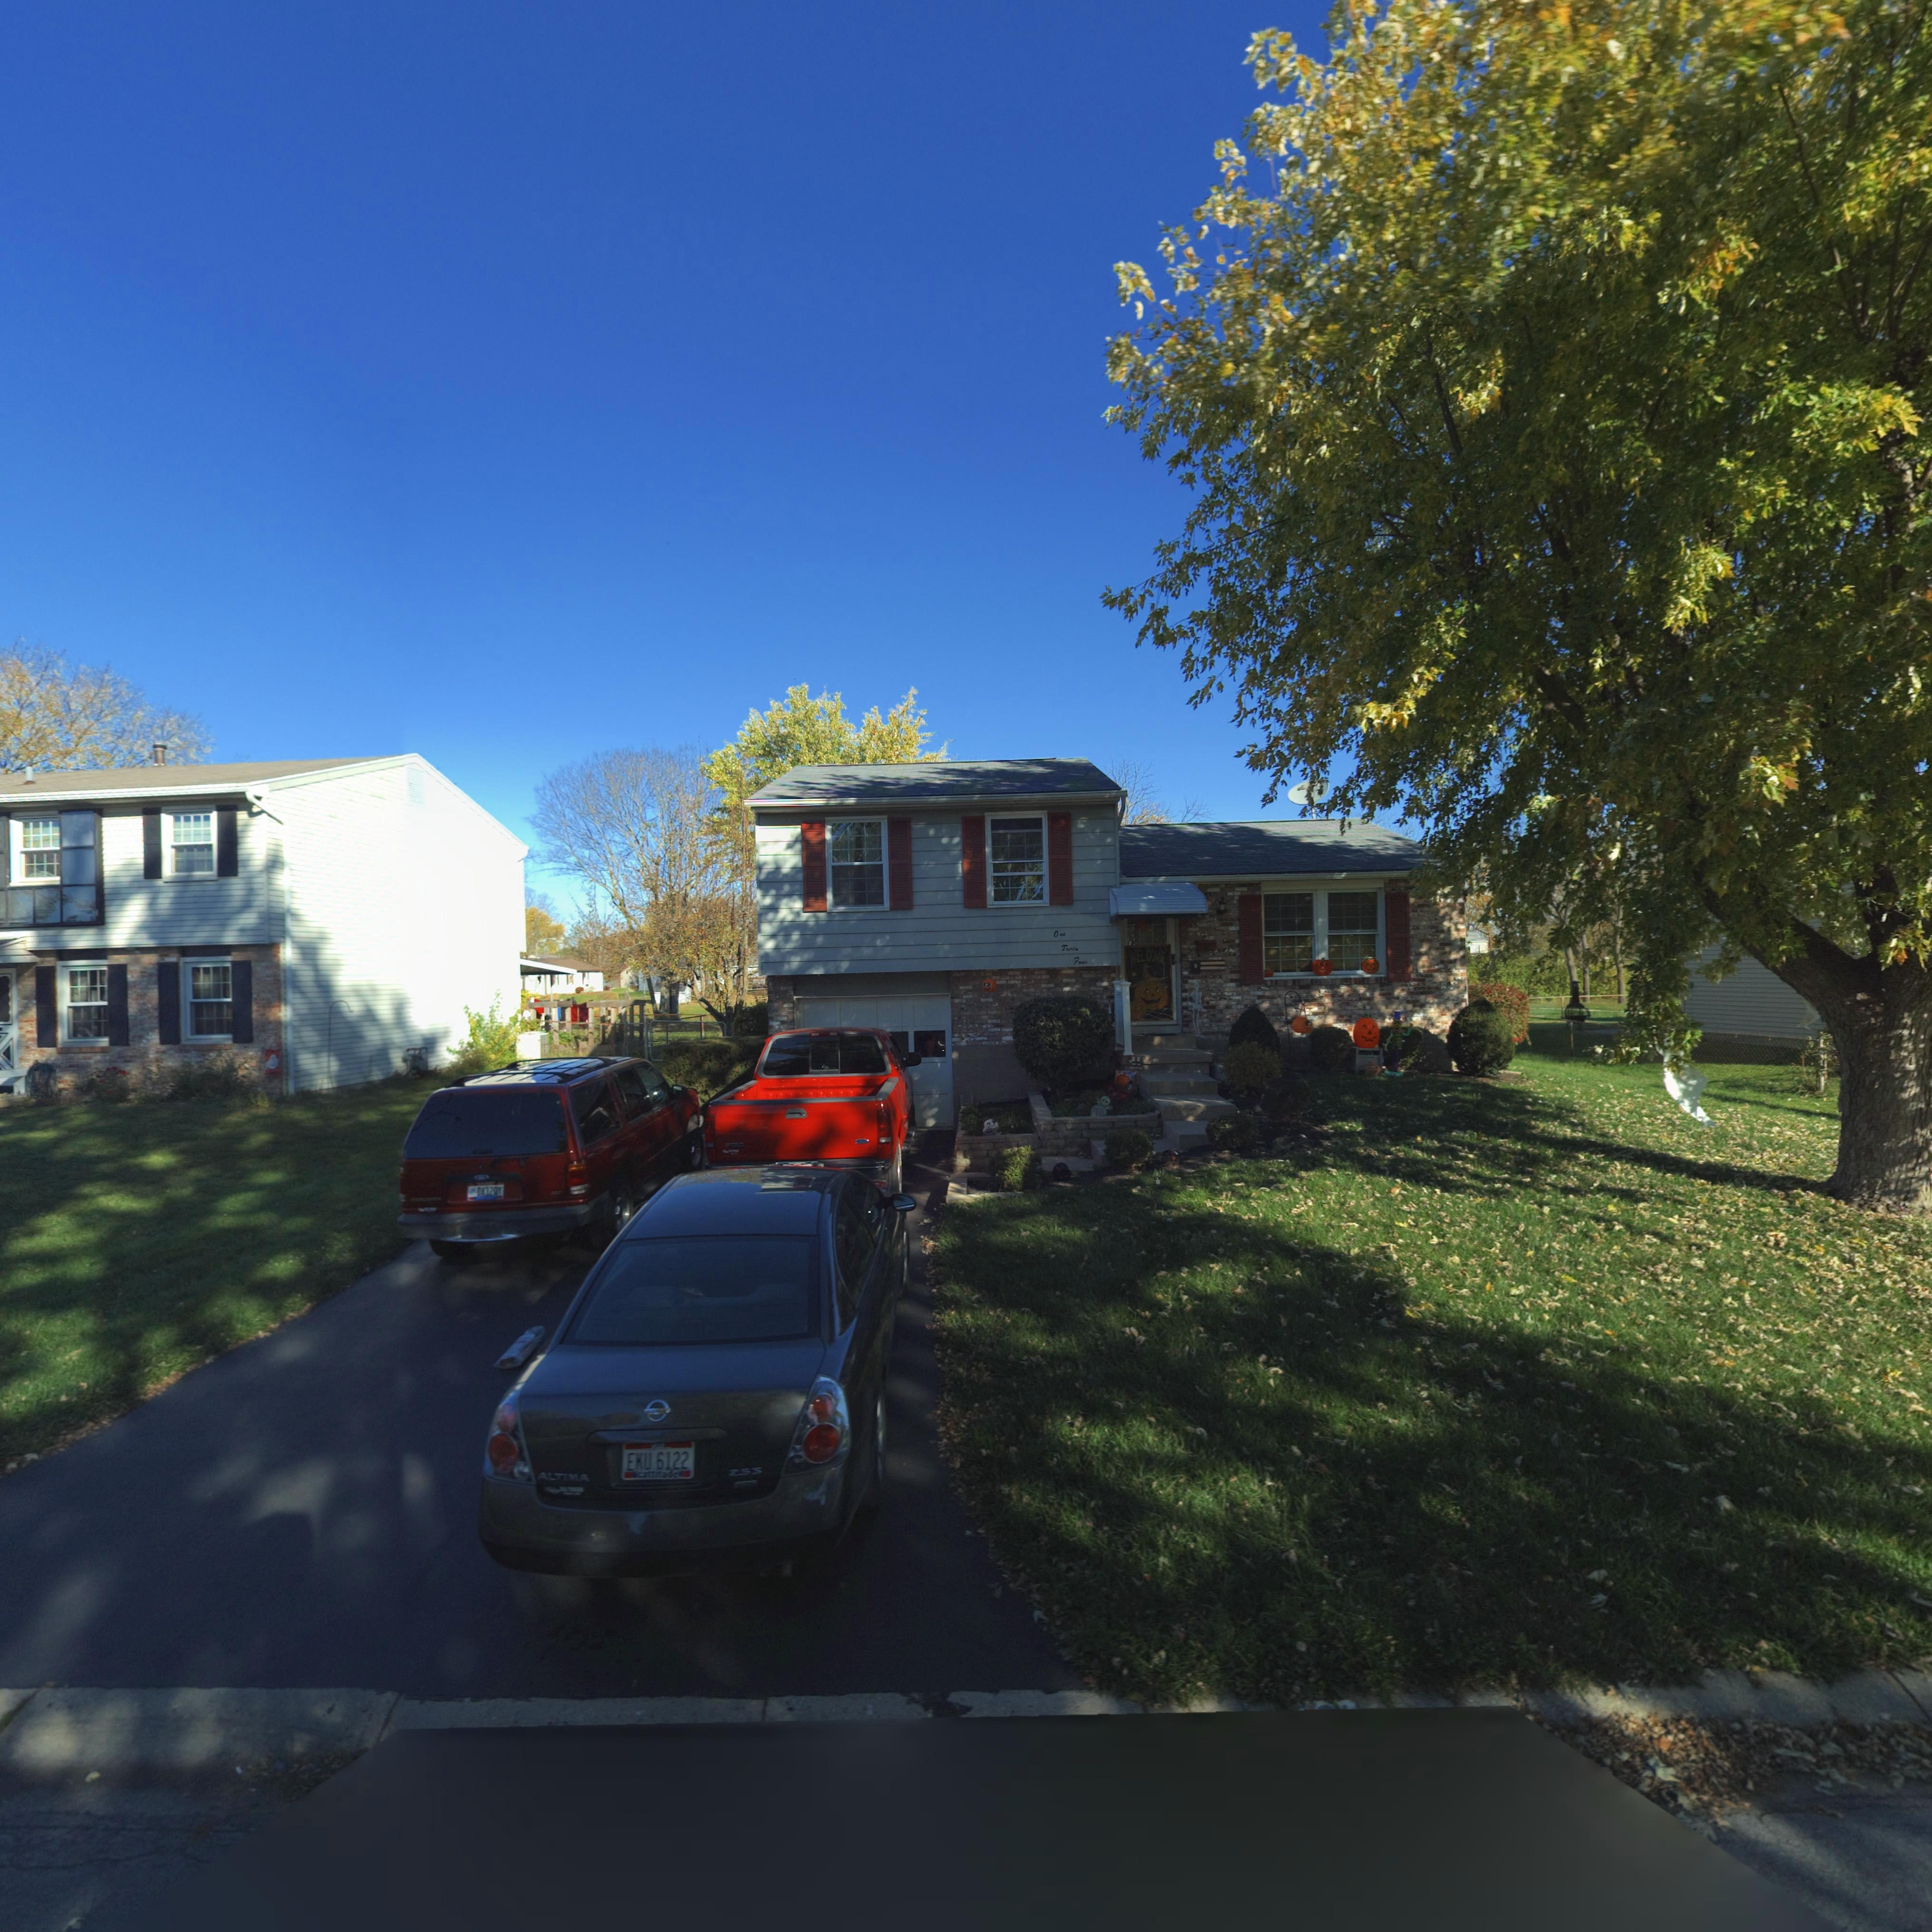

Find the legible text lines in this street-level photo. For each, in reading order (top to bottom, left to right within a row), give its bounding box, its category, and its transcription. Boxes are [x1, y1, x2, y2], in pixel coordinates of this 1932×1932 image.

[1053, 929, 1067, 938] StreetNumber: One
[1061, 944, 1079, 951] StreetNumber: Thirty
[1073, 956, 1088, 965] StreetNumber: Four